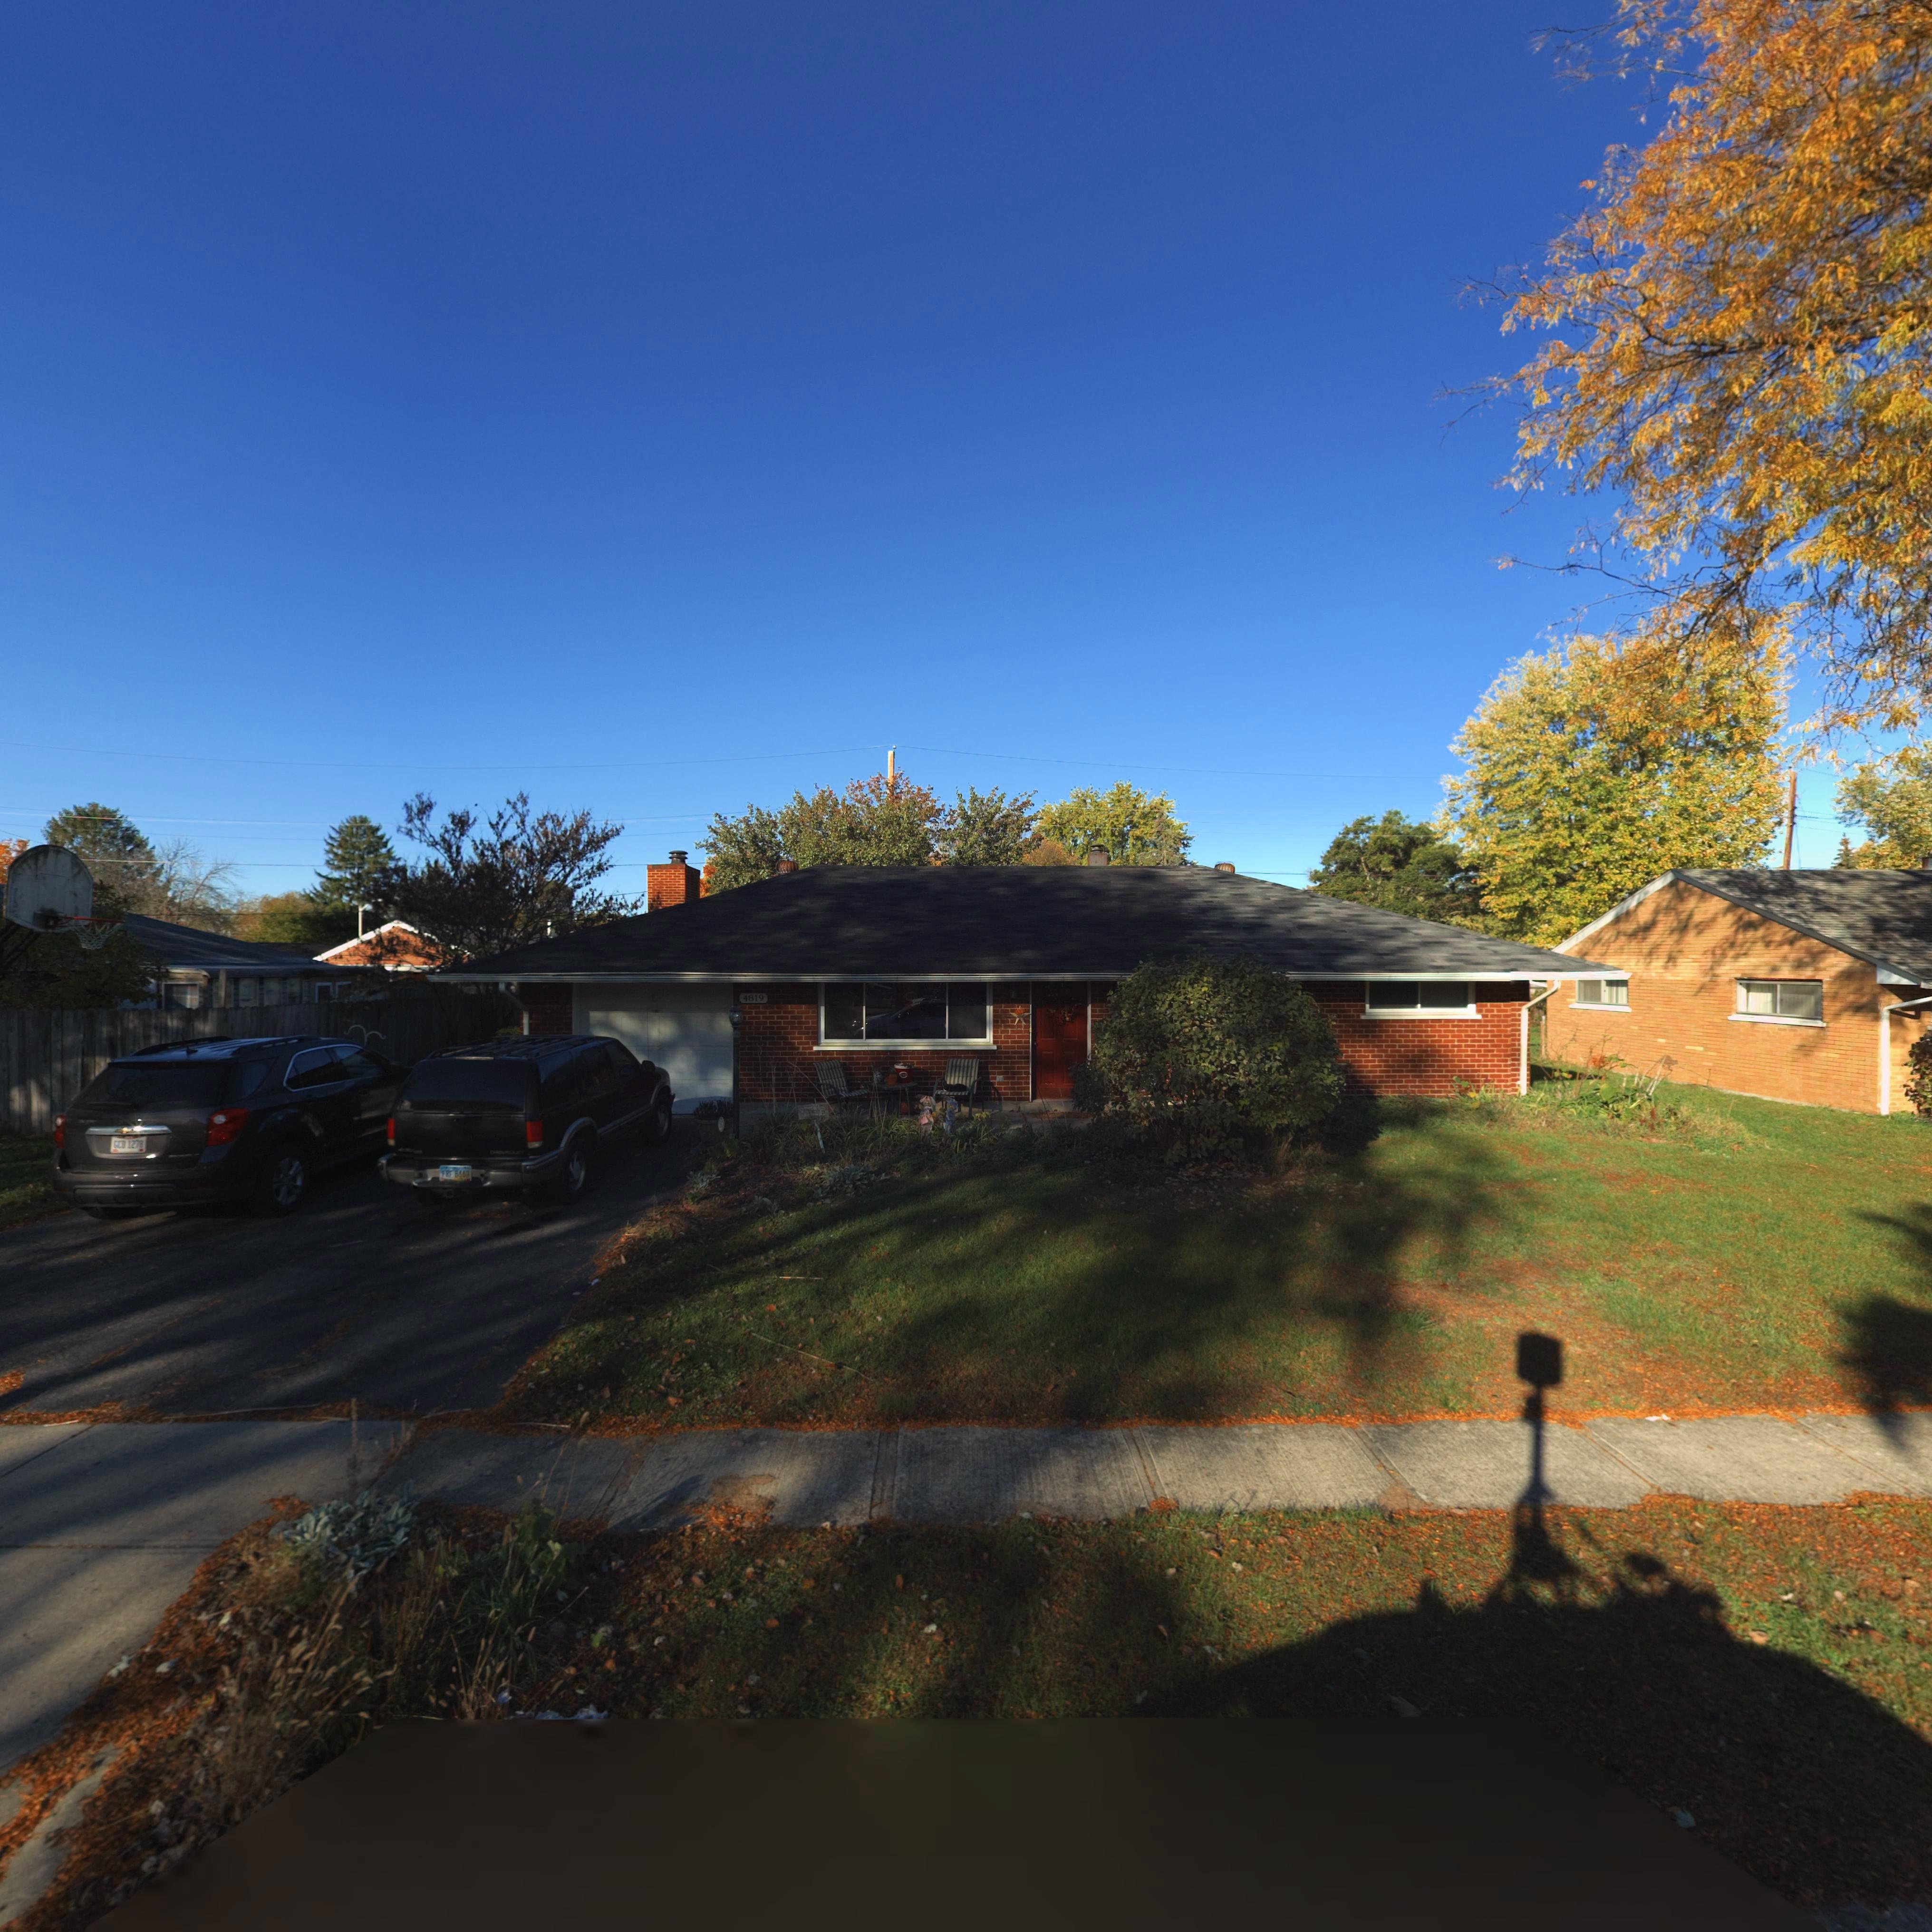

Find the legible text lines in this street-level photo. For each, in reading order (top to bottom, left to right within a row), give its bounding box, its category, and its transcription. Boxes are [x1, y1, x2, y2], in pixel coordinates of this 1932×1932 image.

[742, 993, 764, 1002] StreetNumber: 4819